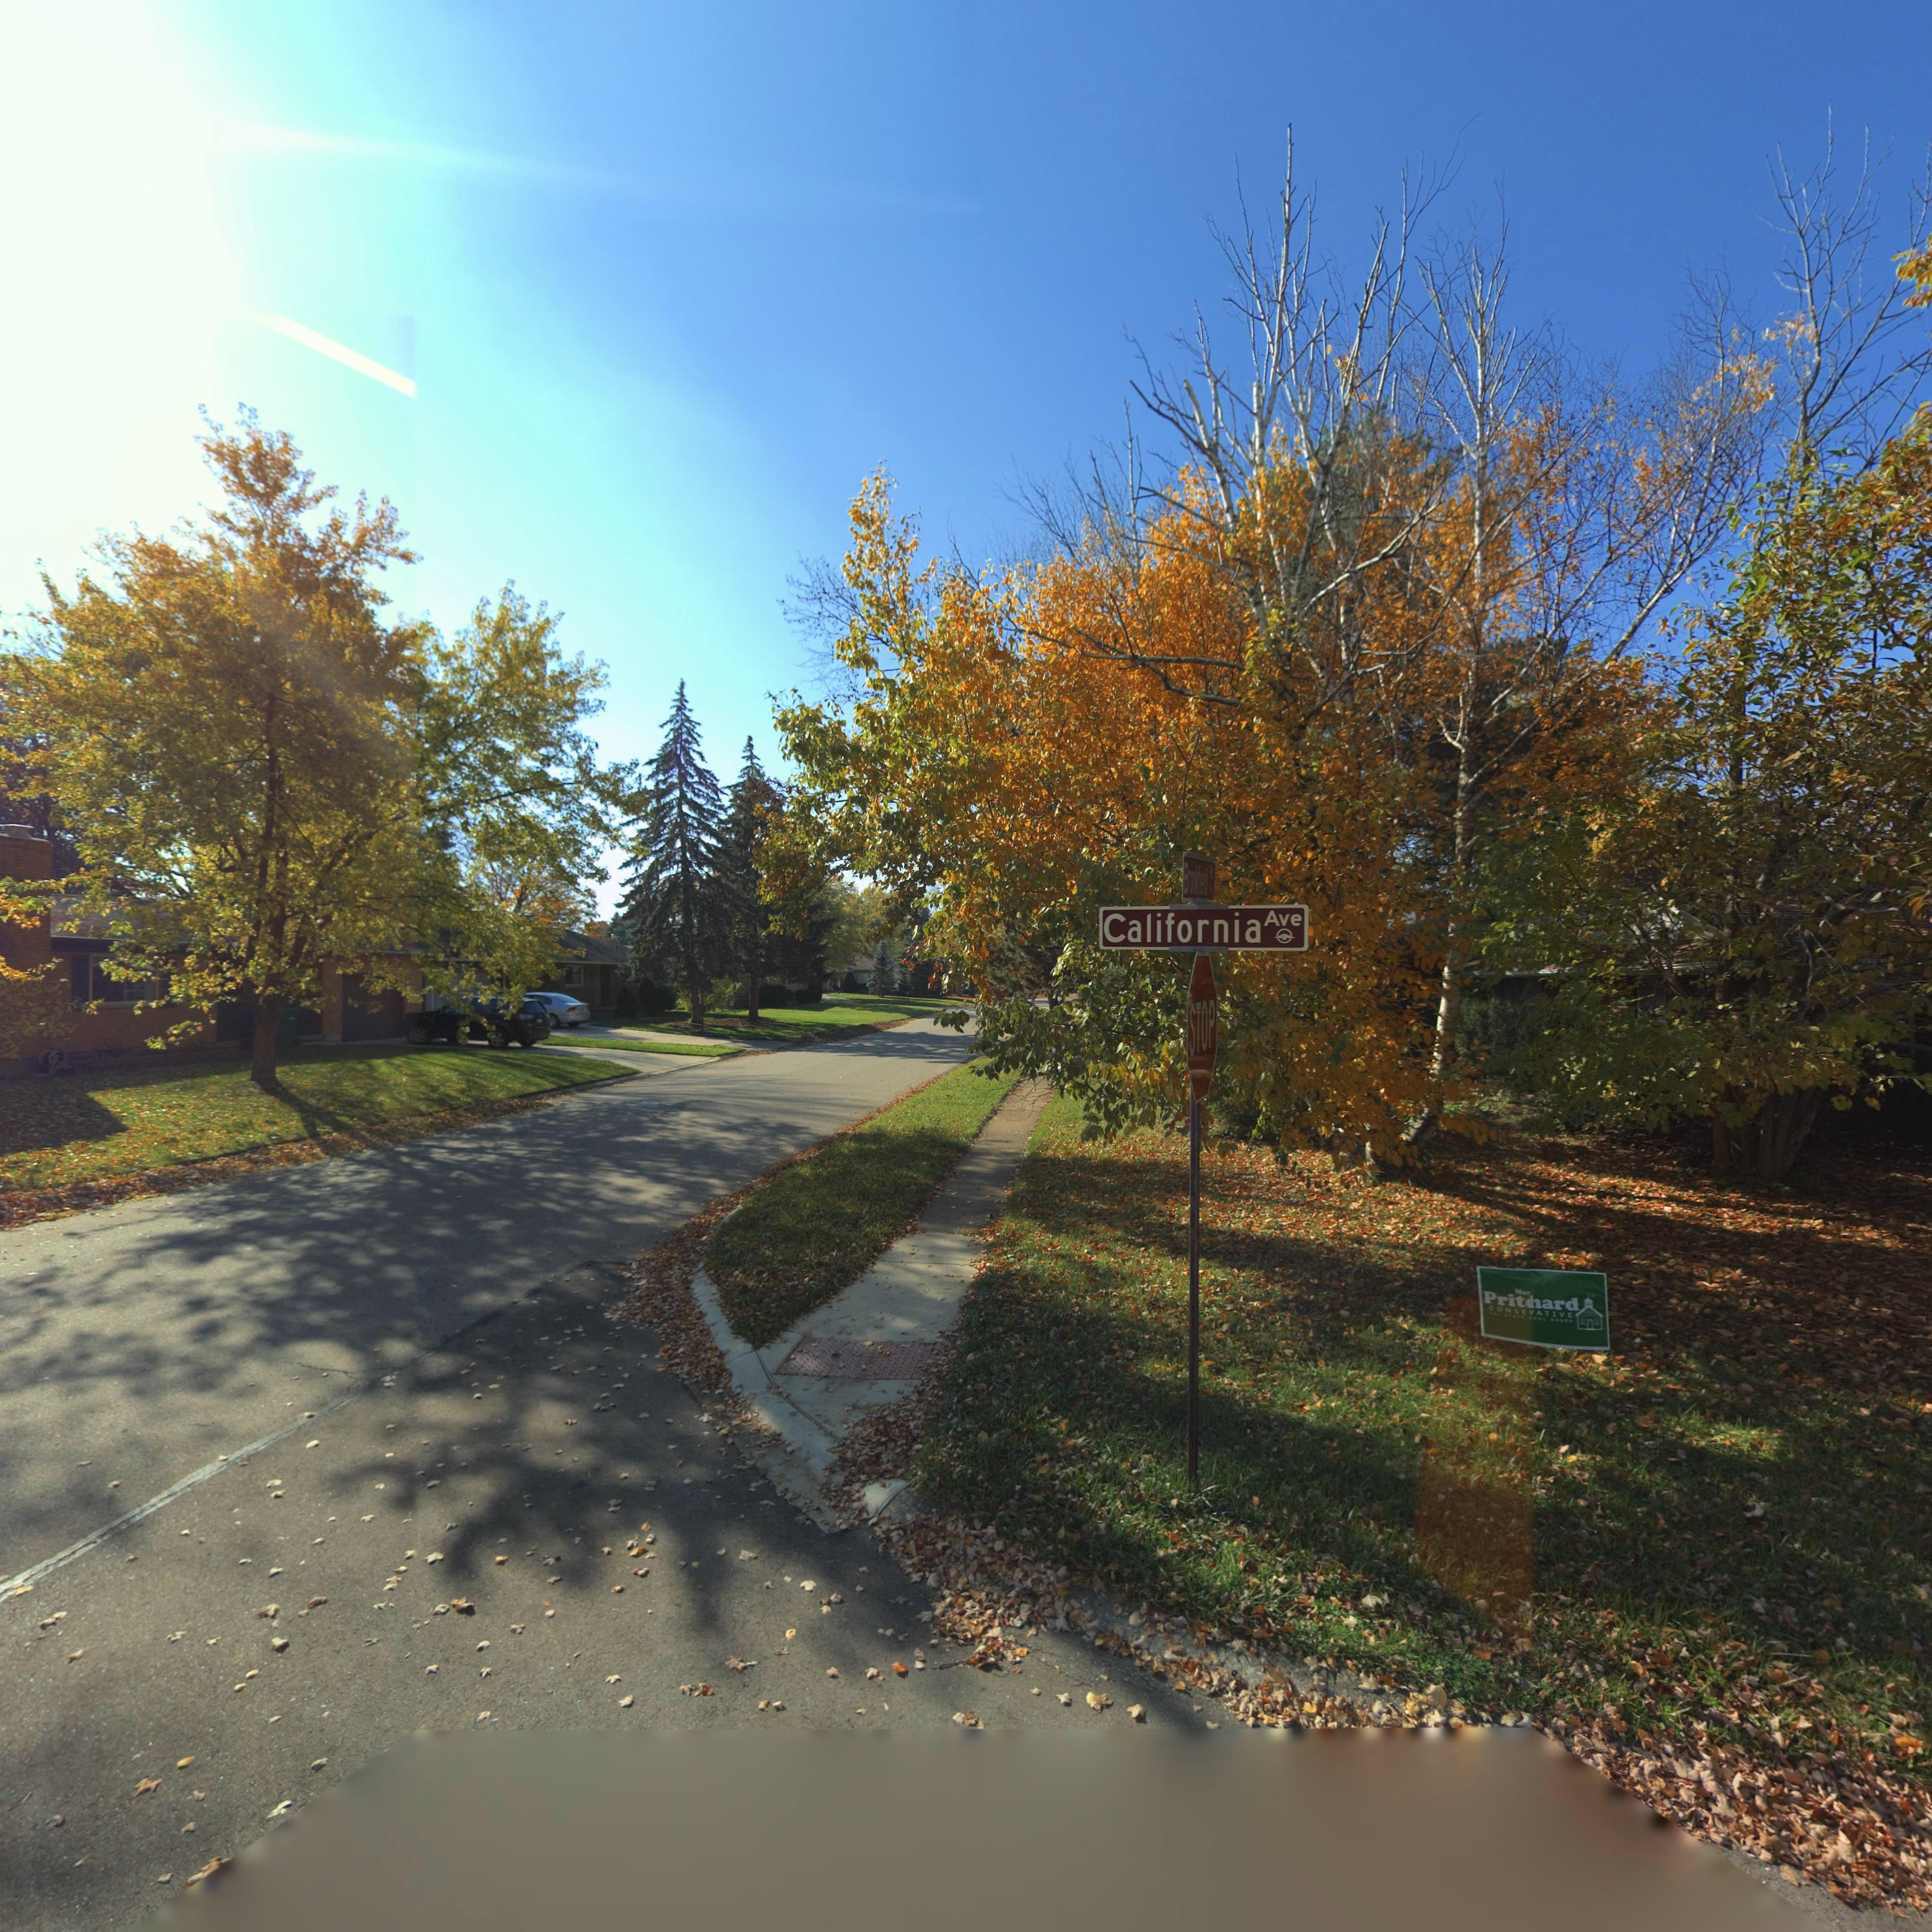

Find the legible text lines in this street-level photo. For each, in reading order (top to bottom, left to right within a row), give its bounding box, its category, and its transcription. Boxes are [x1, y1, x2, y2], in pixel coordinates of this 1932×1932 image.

[1102, 909, 1302, 945] StreetName: California Ave
[1188, 999, 1217, 1059] None: STOP
[1514, 1287, 1532, 1296] None: Mar*
[1482, 1290, 1580, 1312] None: Prit*ard
[1489, 1304, 1574, 1319] None: CONSE*ATIVE